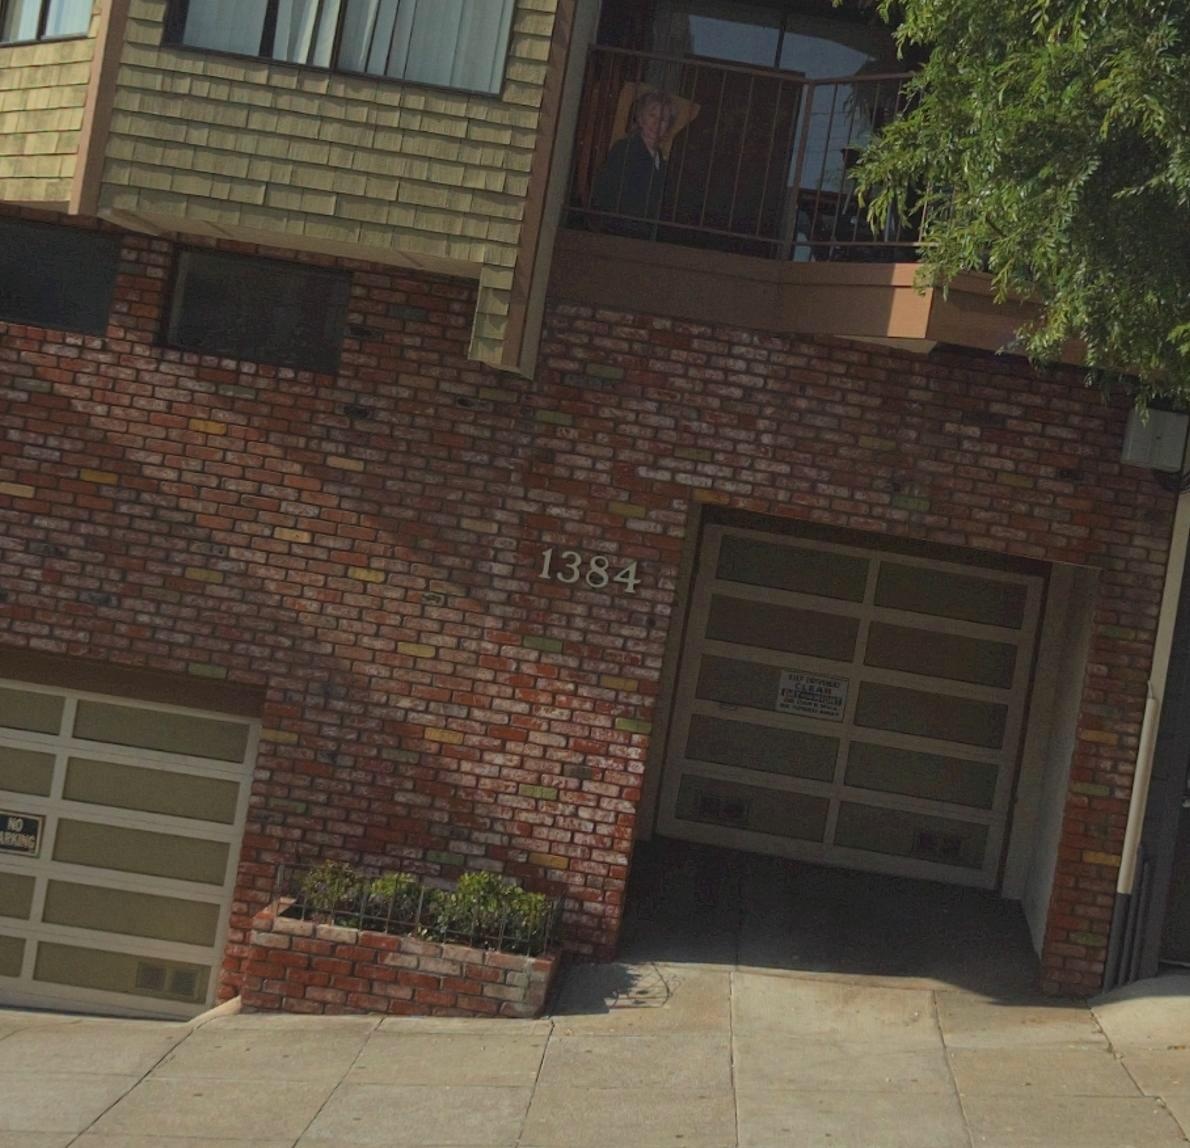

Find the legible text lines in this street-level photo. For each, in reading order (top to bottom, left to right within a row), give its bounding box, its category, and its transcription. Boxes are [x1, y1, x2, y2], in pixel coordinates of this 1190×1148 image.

[537, 543, 645, 596] StreetNumber: 1384
[792, 679, 835, 698] None: CLEAR